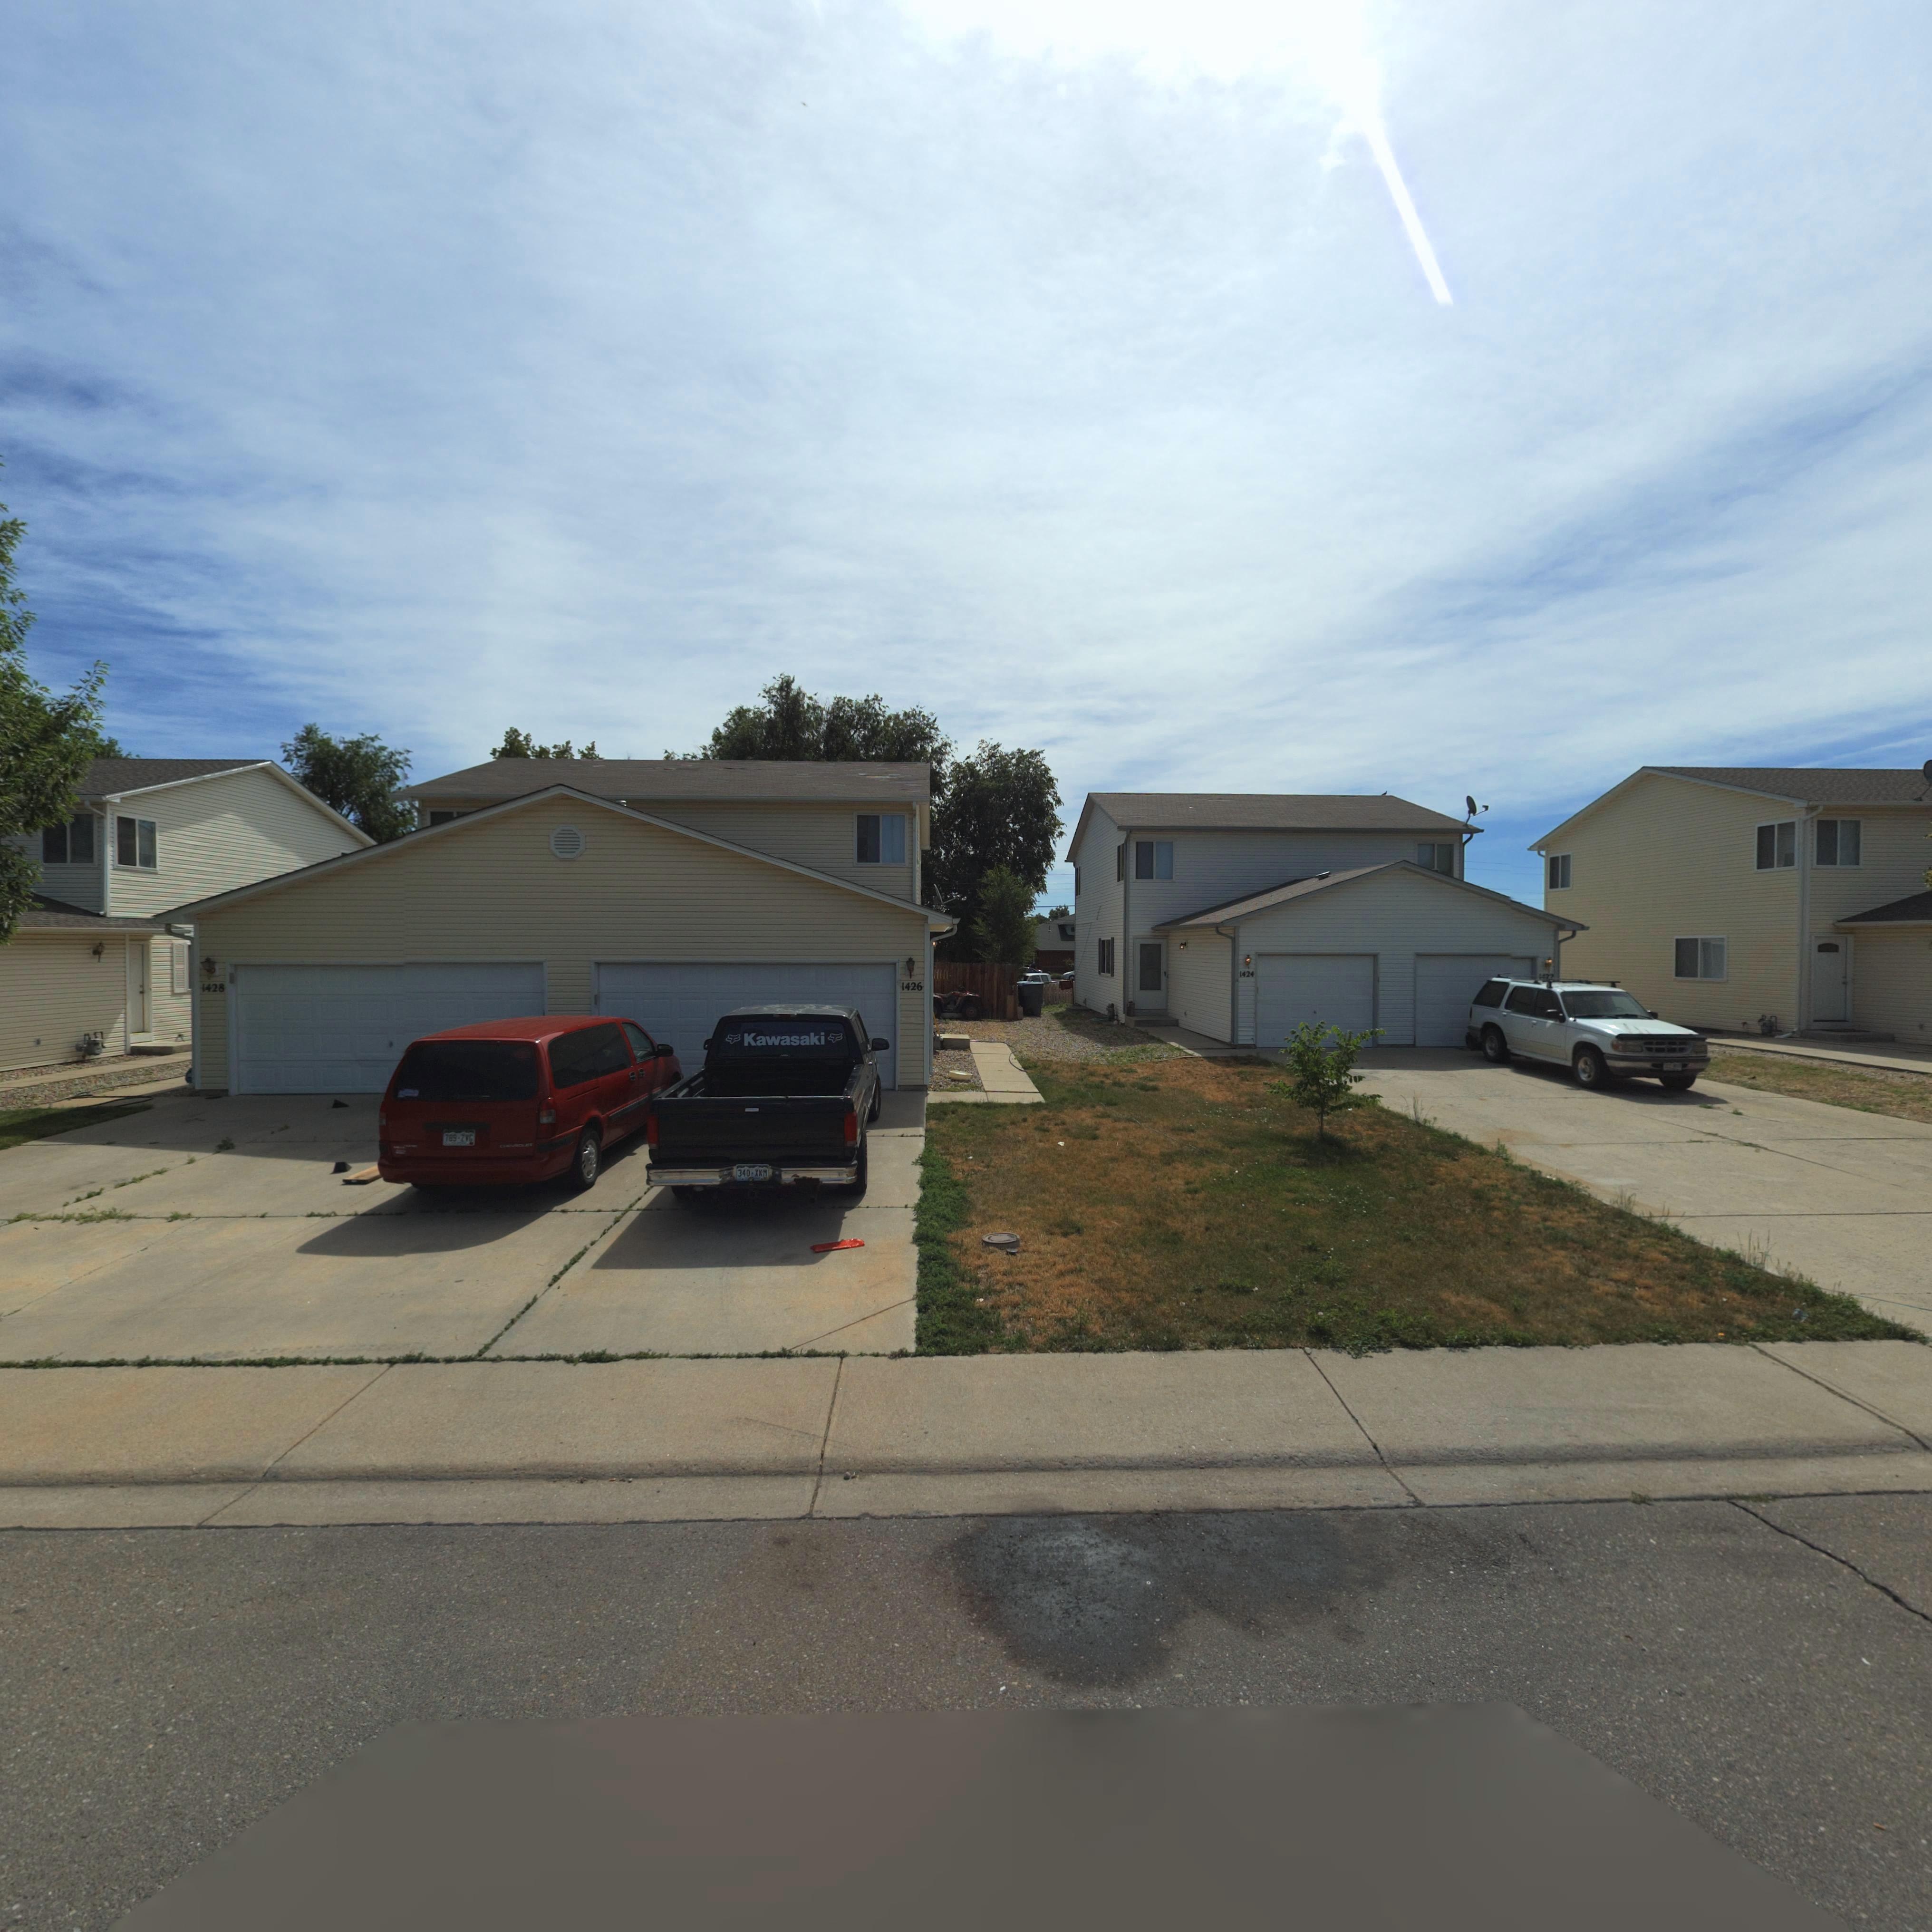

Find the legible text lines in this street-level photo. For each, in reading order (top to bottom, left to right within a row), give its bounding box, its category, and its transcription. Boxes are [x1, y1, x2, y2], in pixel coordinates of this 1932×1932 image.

[1239, 970, 1254, 977] StreetNumber: 1424
[1538, 973, 1553, 980] StreetNumber: 1422
[201, 983, 224, 992] StreetNumber: 1428
[901, 981, 922, 991] StreetNumber: 1426